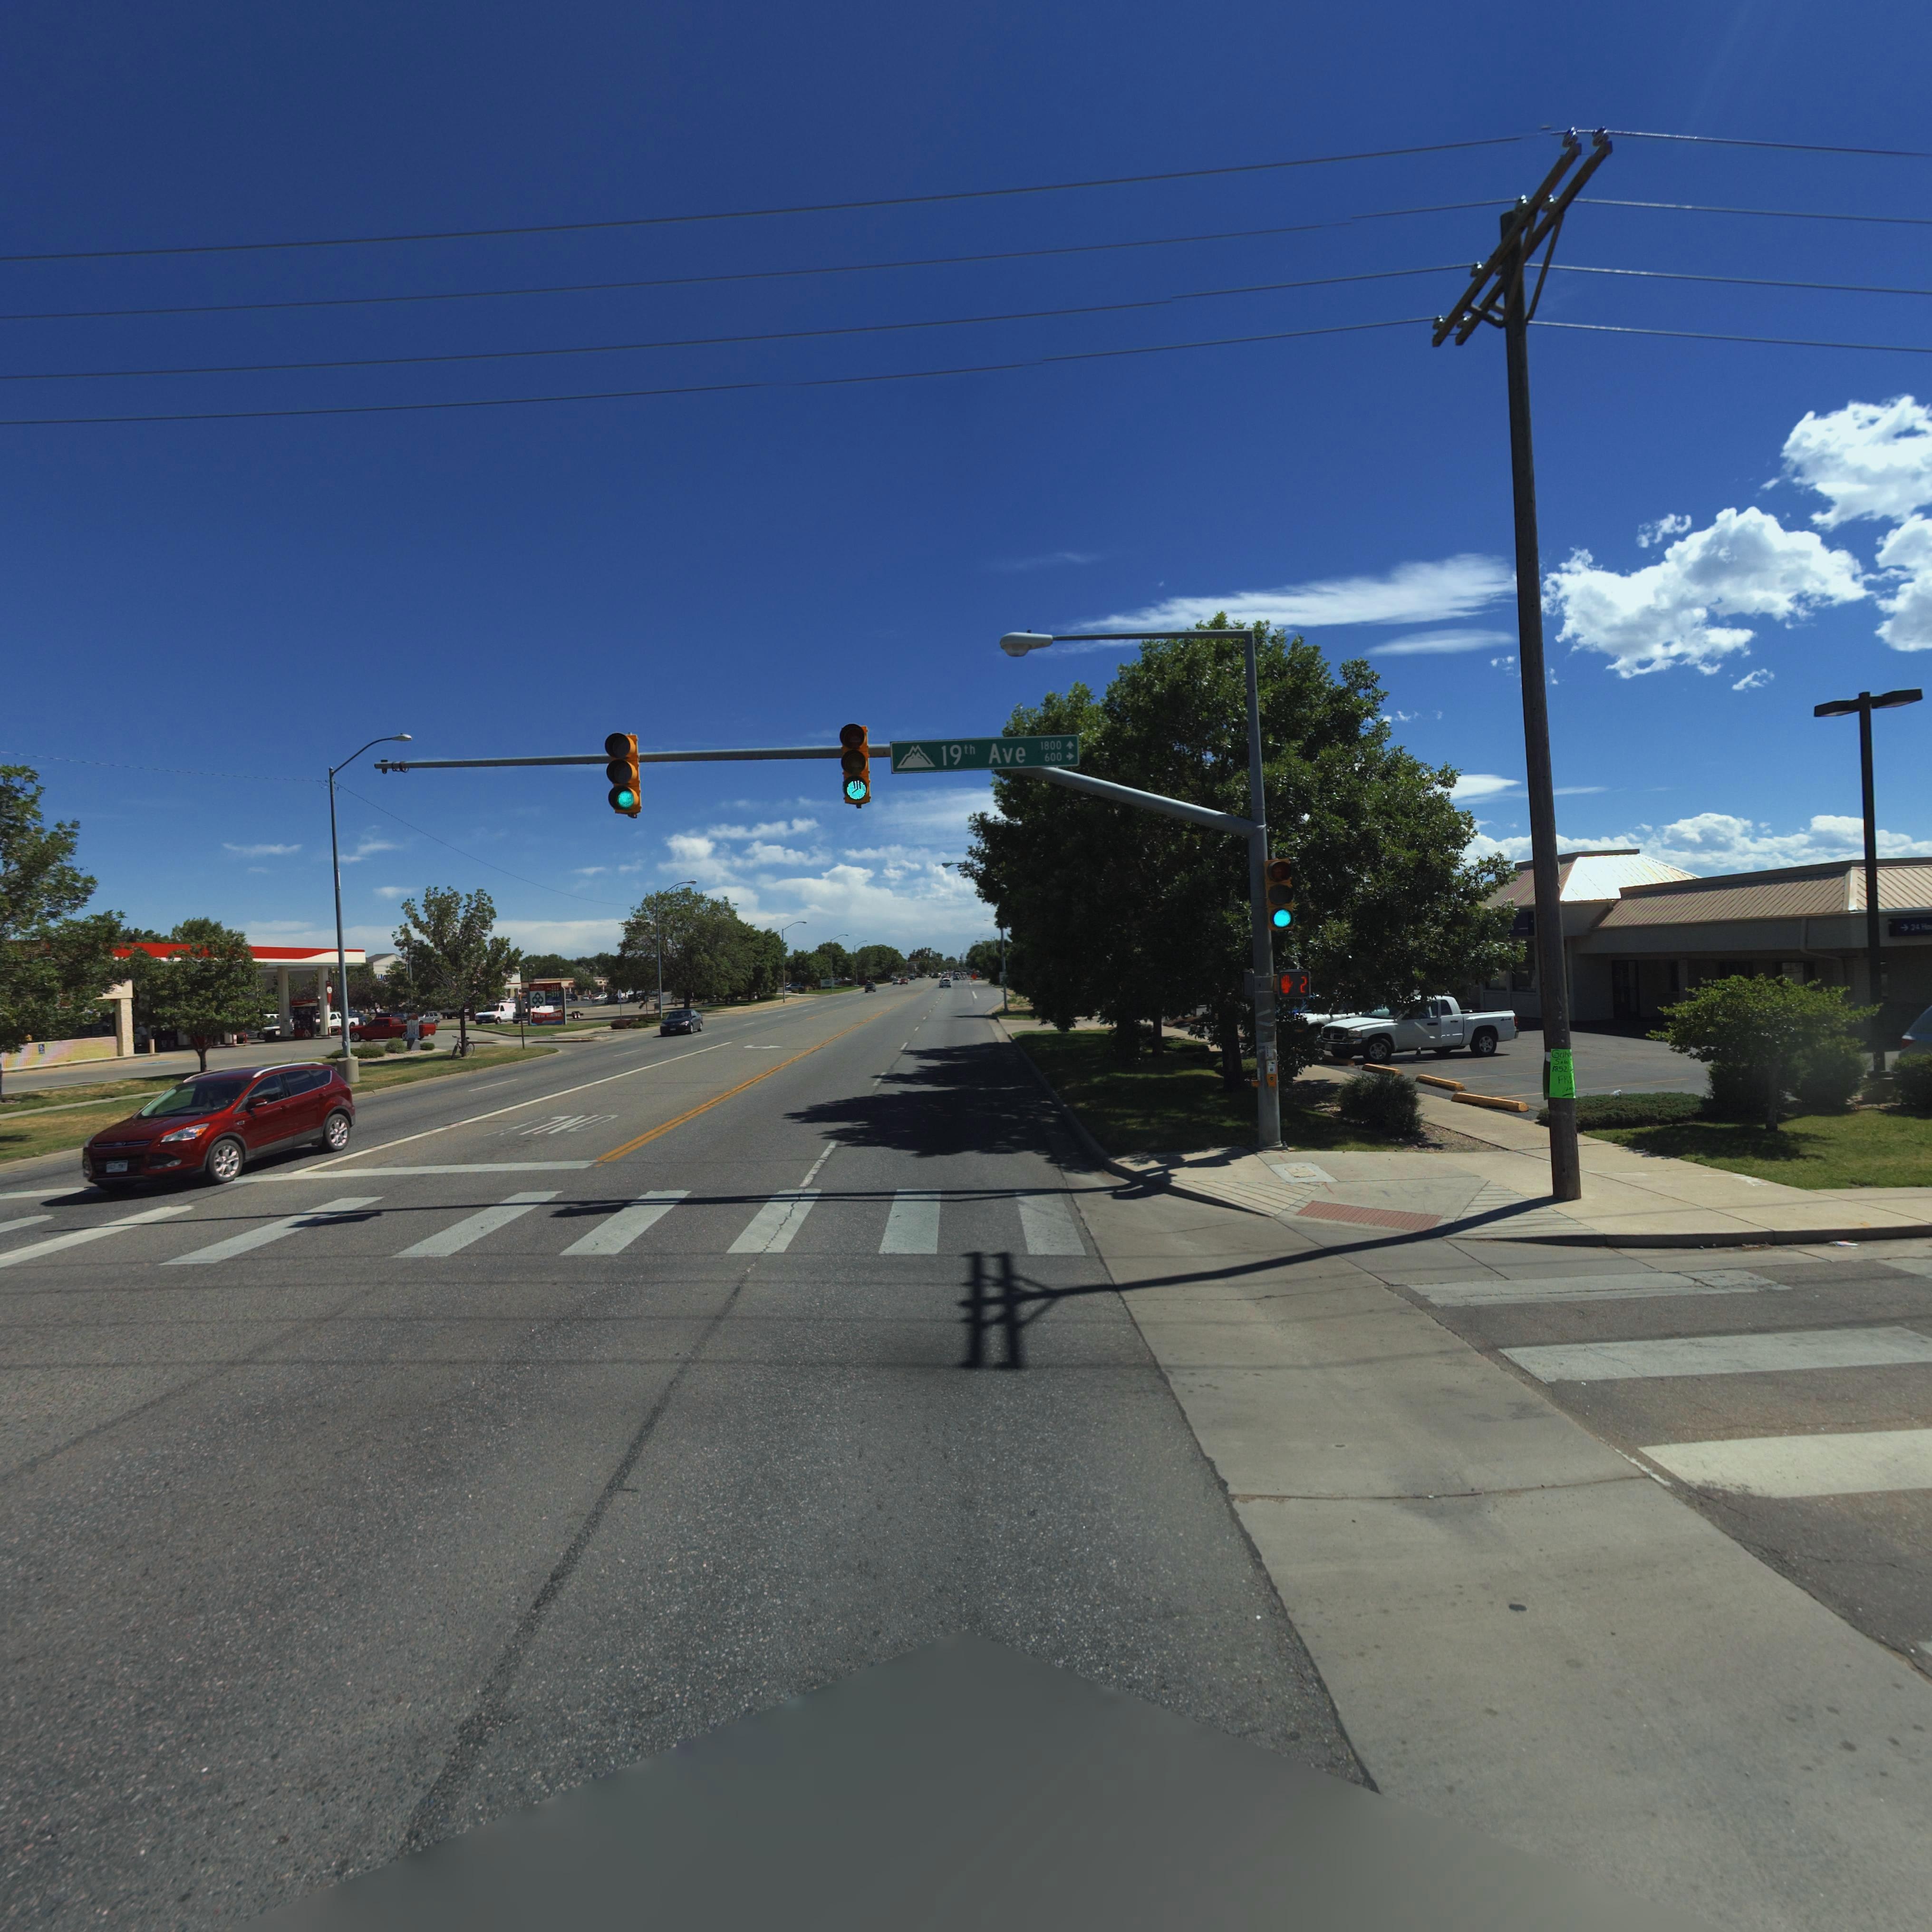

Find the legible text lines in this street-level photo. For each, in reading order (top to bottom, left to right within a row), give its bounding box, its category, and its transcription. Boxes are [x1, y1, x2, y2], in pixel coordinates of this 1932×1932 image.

[1040, 740, 1062, 750] StreetNumberRange: 1800
[941, 743, 1026, 766] StreetName: 19th Ave
[1043, 752, 1075, 762] StreetNumberRange: 600->